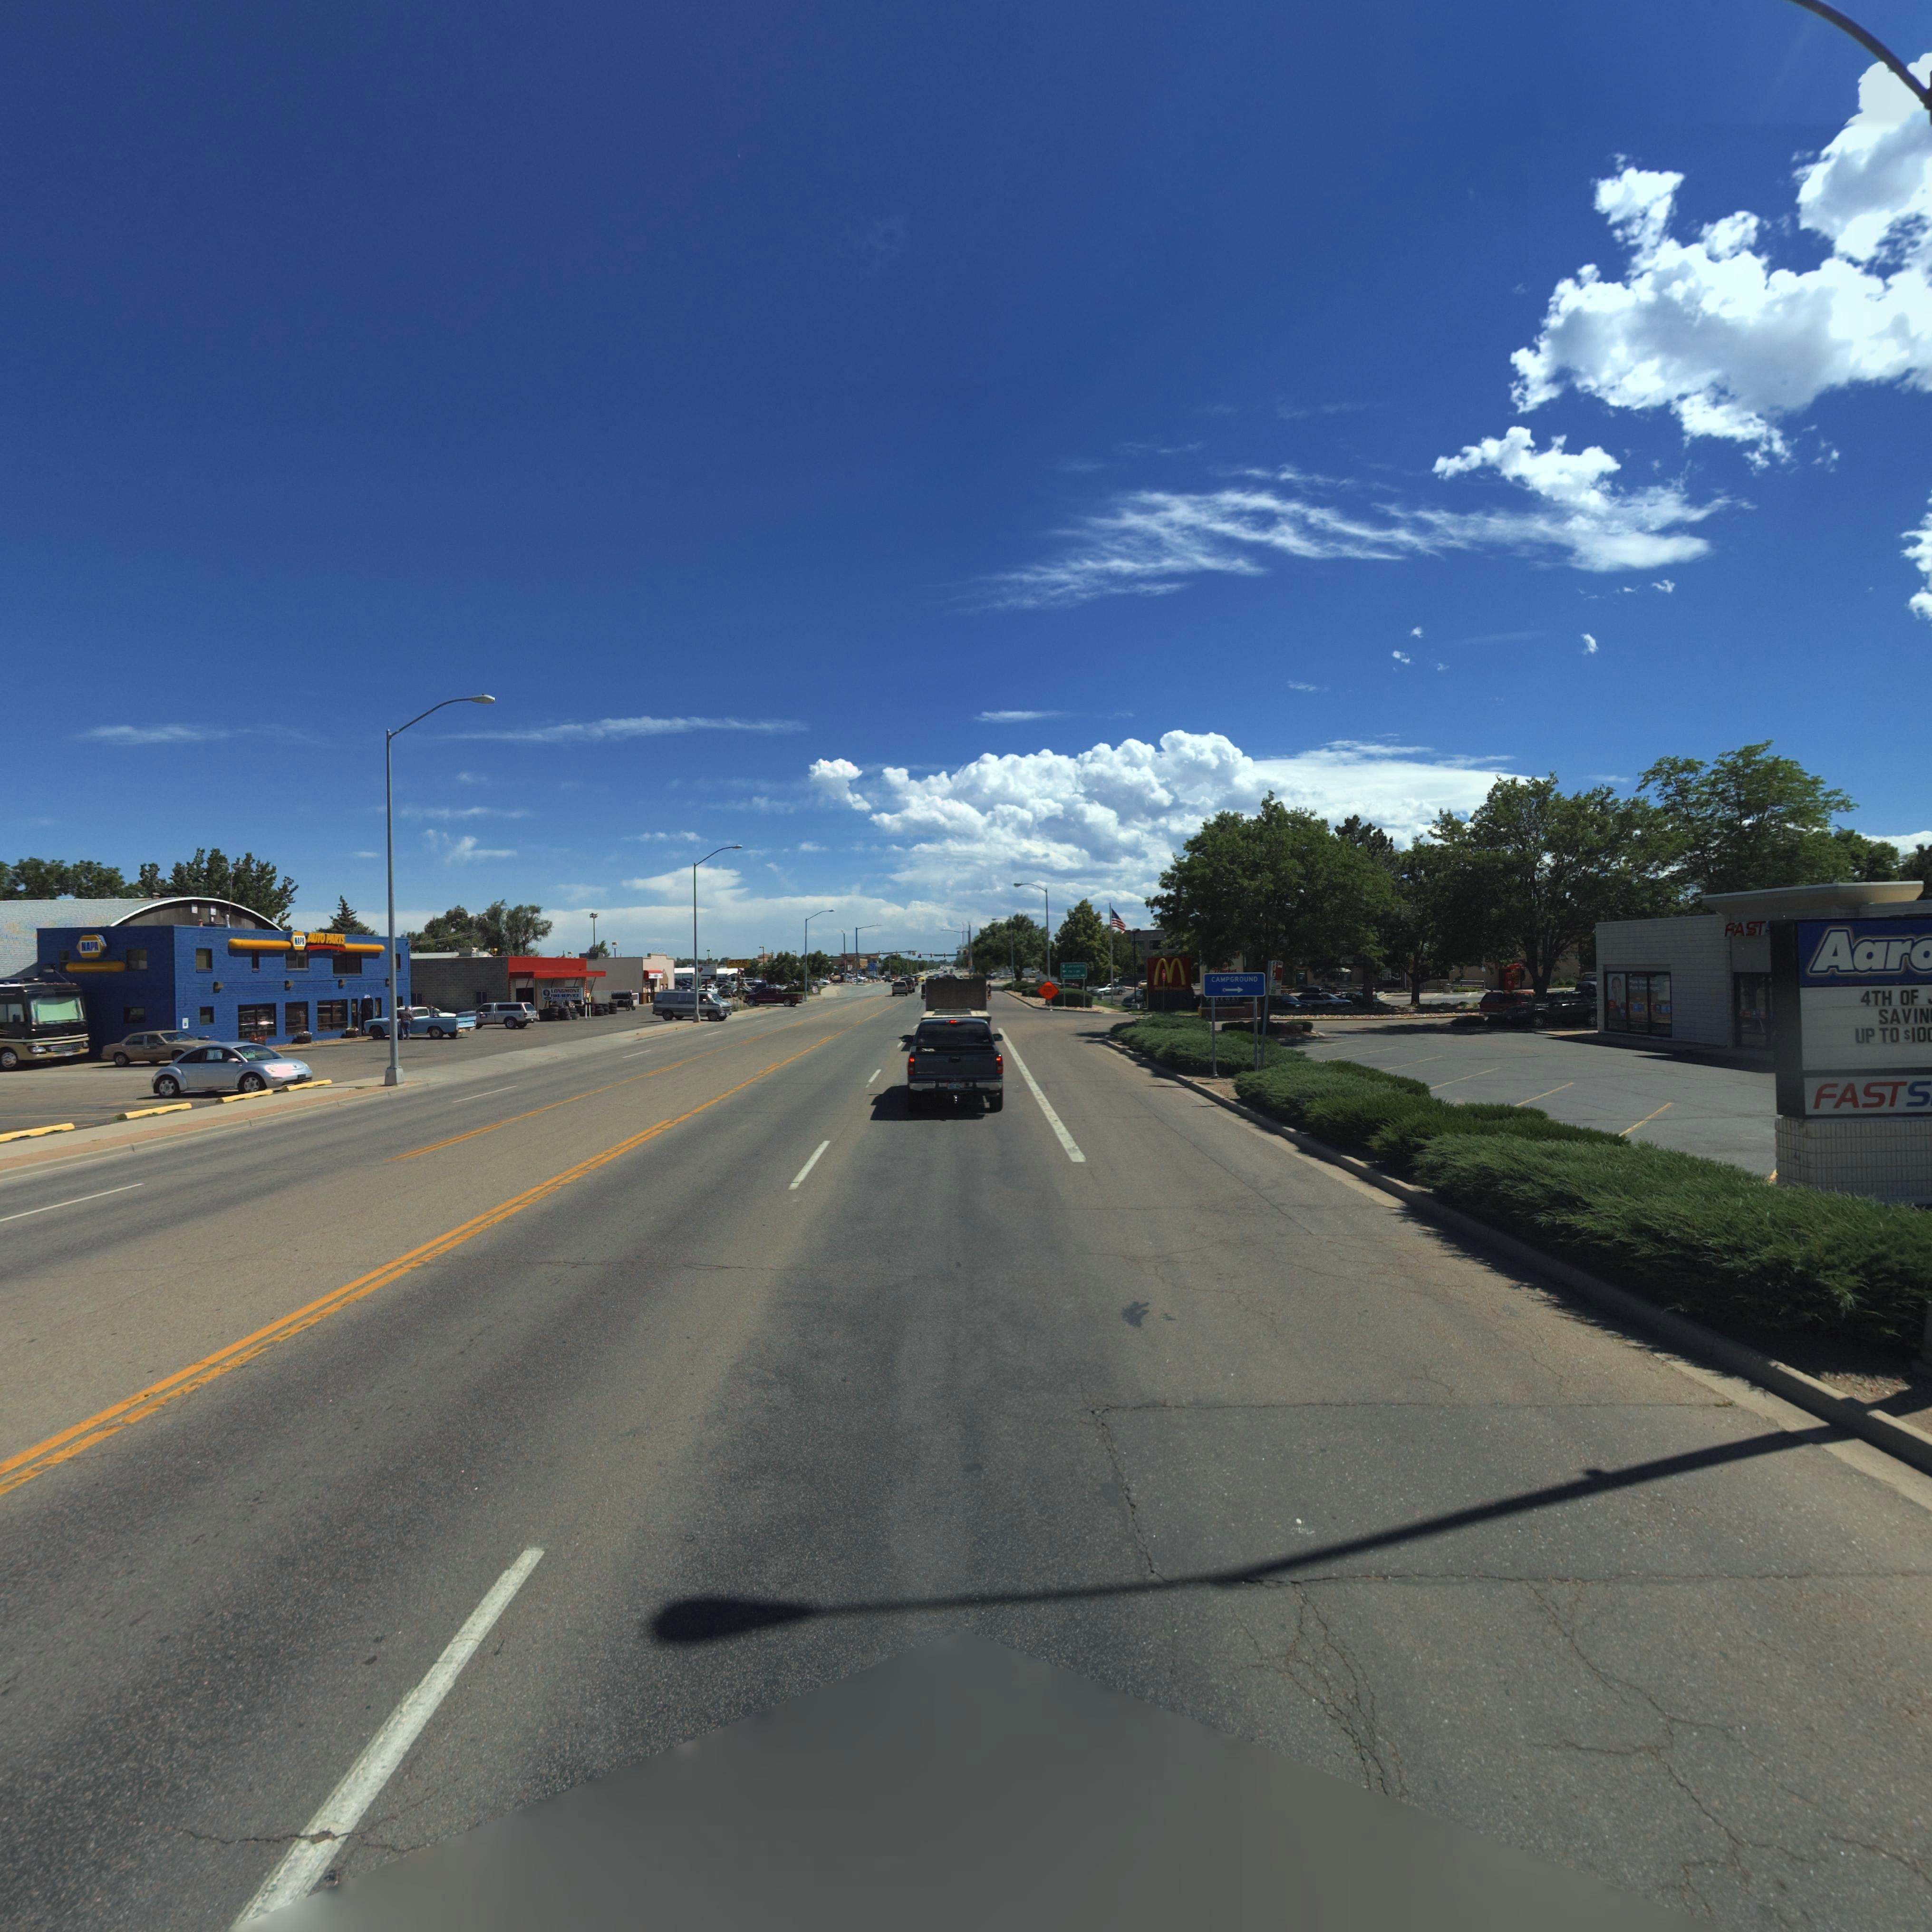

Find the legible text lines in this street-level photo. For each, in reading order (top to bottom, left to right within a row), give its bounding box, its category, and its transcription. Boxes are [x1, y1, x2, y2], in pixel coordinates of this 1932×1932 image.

[1721, 920, 1769, 938] BusinessName: FAST
[81, 940, 100, 952] BusinessName: NAPA
[294, 937, 304, 945] BusinessName: NAPA
[307, 932, 345, 944] BusinessName: AUTO PARTS
[1806, 927, 1916, 976] BusinessName: Aar
[729, 959, 747, 964] BusinessName: ZOE
[550, 988, 580, 993] BusinessName: LONGMONT
[1810, 1080, 1932, 1111] BusinessName: FASTS